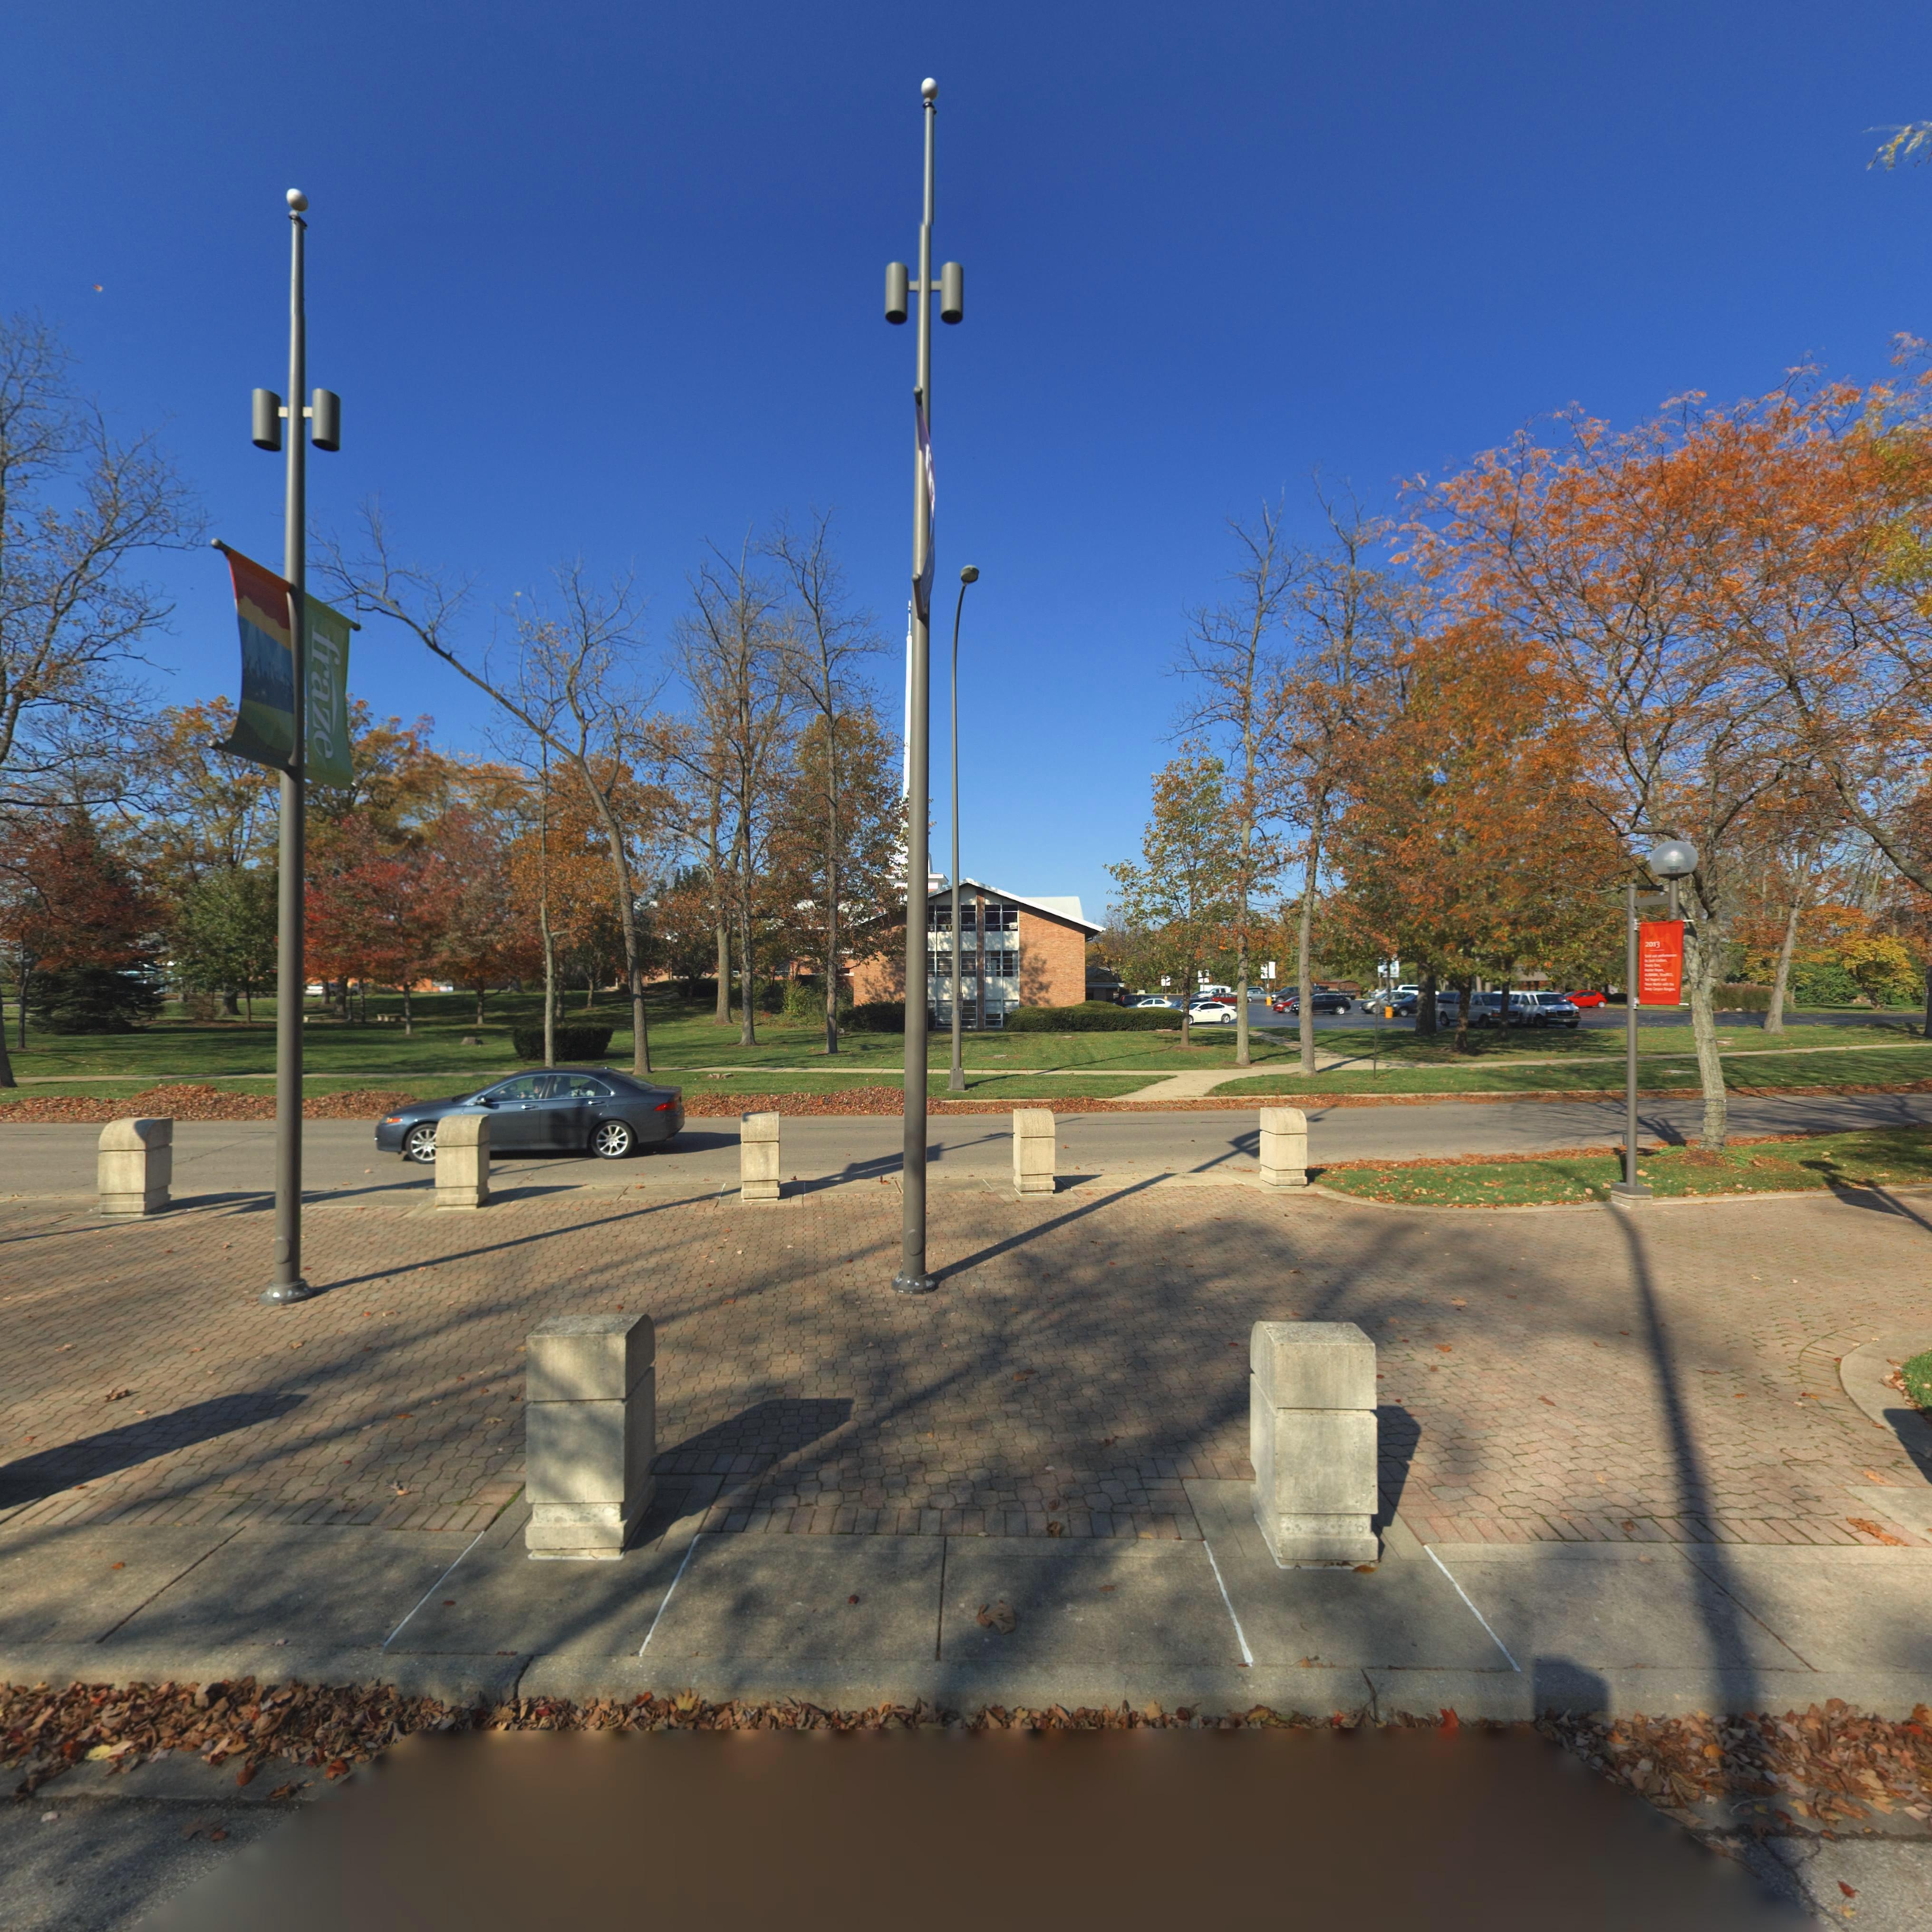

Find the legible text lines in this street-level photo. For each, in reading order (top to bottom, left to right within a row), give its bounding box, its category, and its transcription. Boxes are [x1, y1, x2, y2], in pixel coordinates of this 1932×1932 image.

[1644, 940, 1661, 948] None: 2013